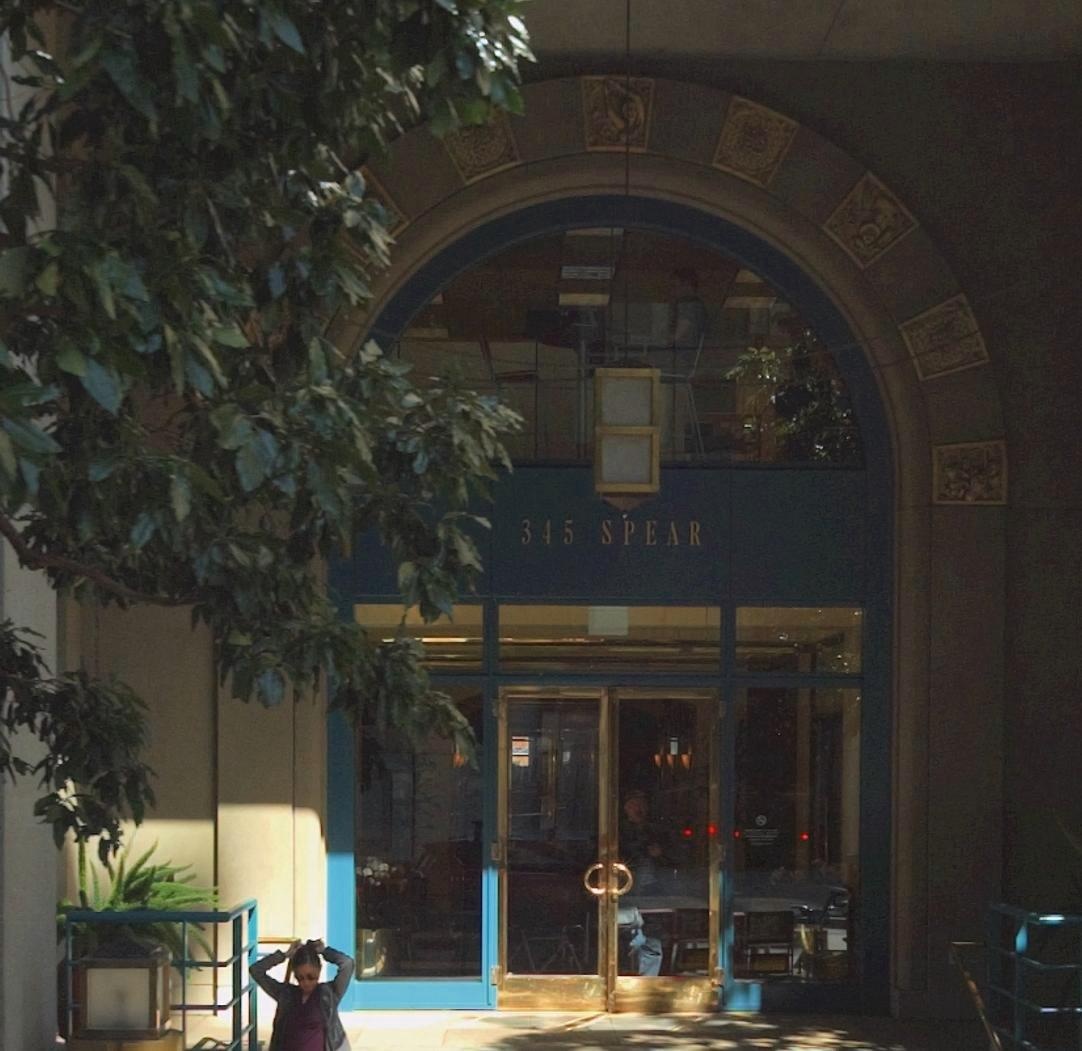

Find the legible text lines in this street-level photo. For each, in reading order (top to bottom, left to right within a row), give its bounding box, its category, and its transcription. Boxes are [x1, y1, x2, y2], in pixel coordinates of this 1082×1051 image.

[519, 515, 581, 550] StreetNumber: 345
[592, 515, 706, 552] StreetName: SPEAR